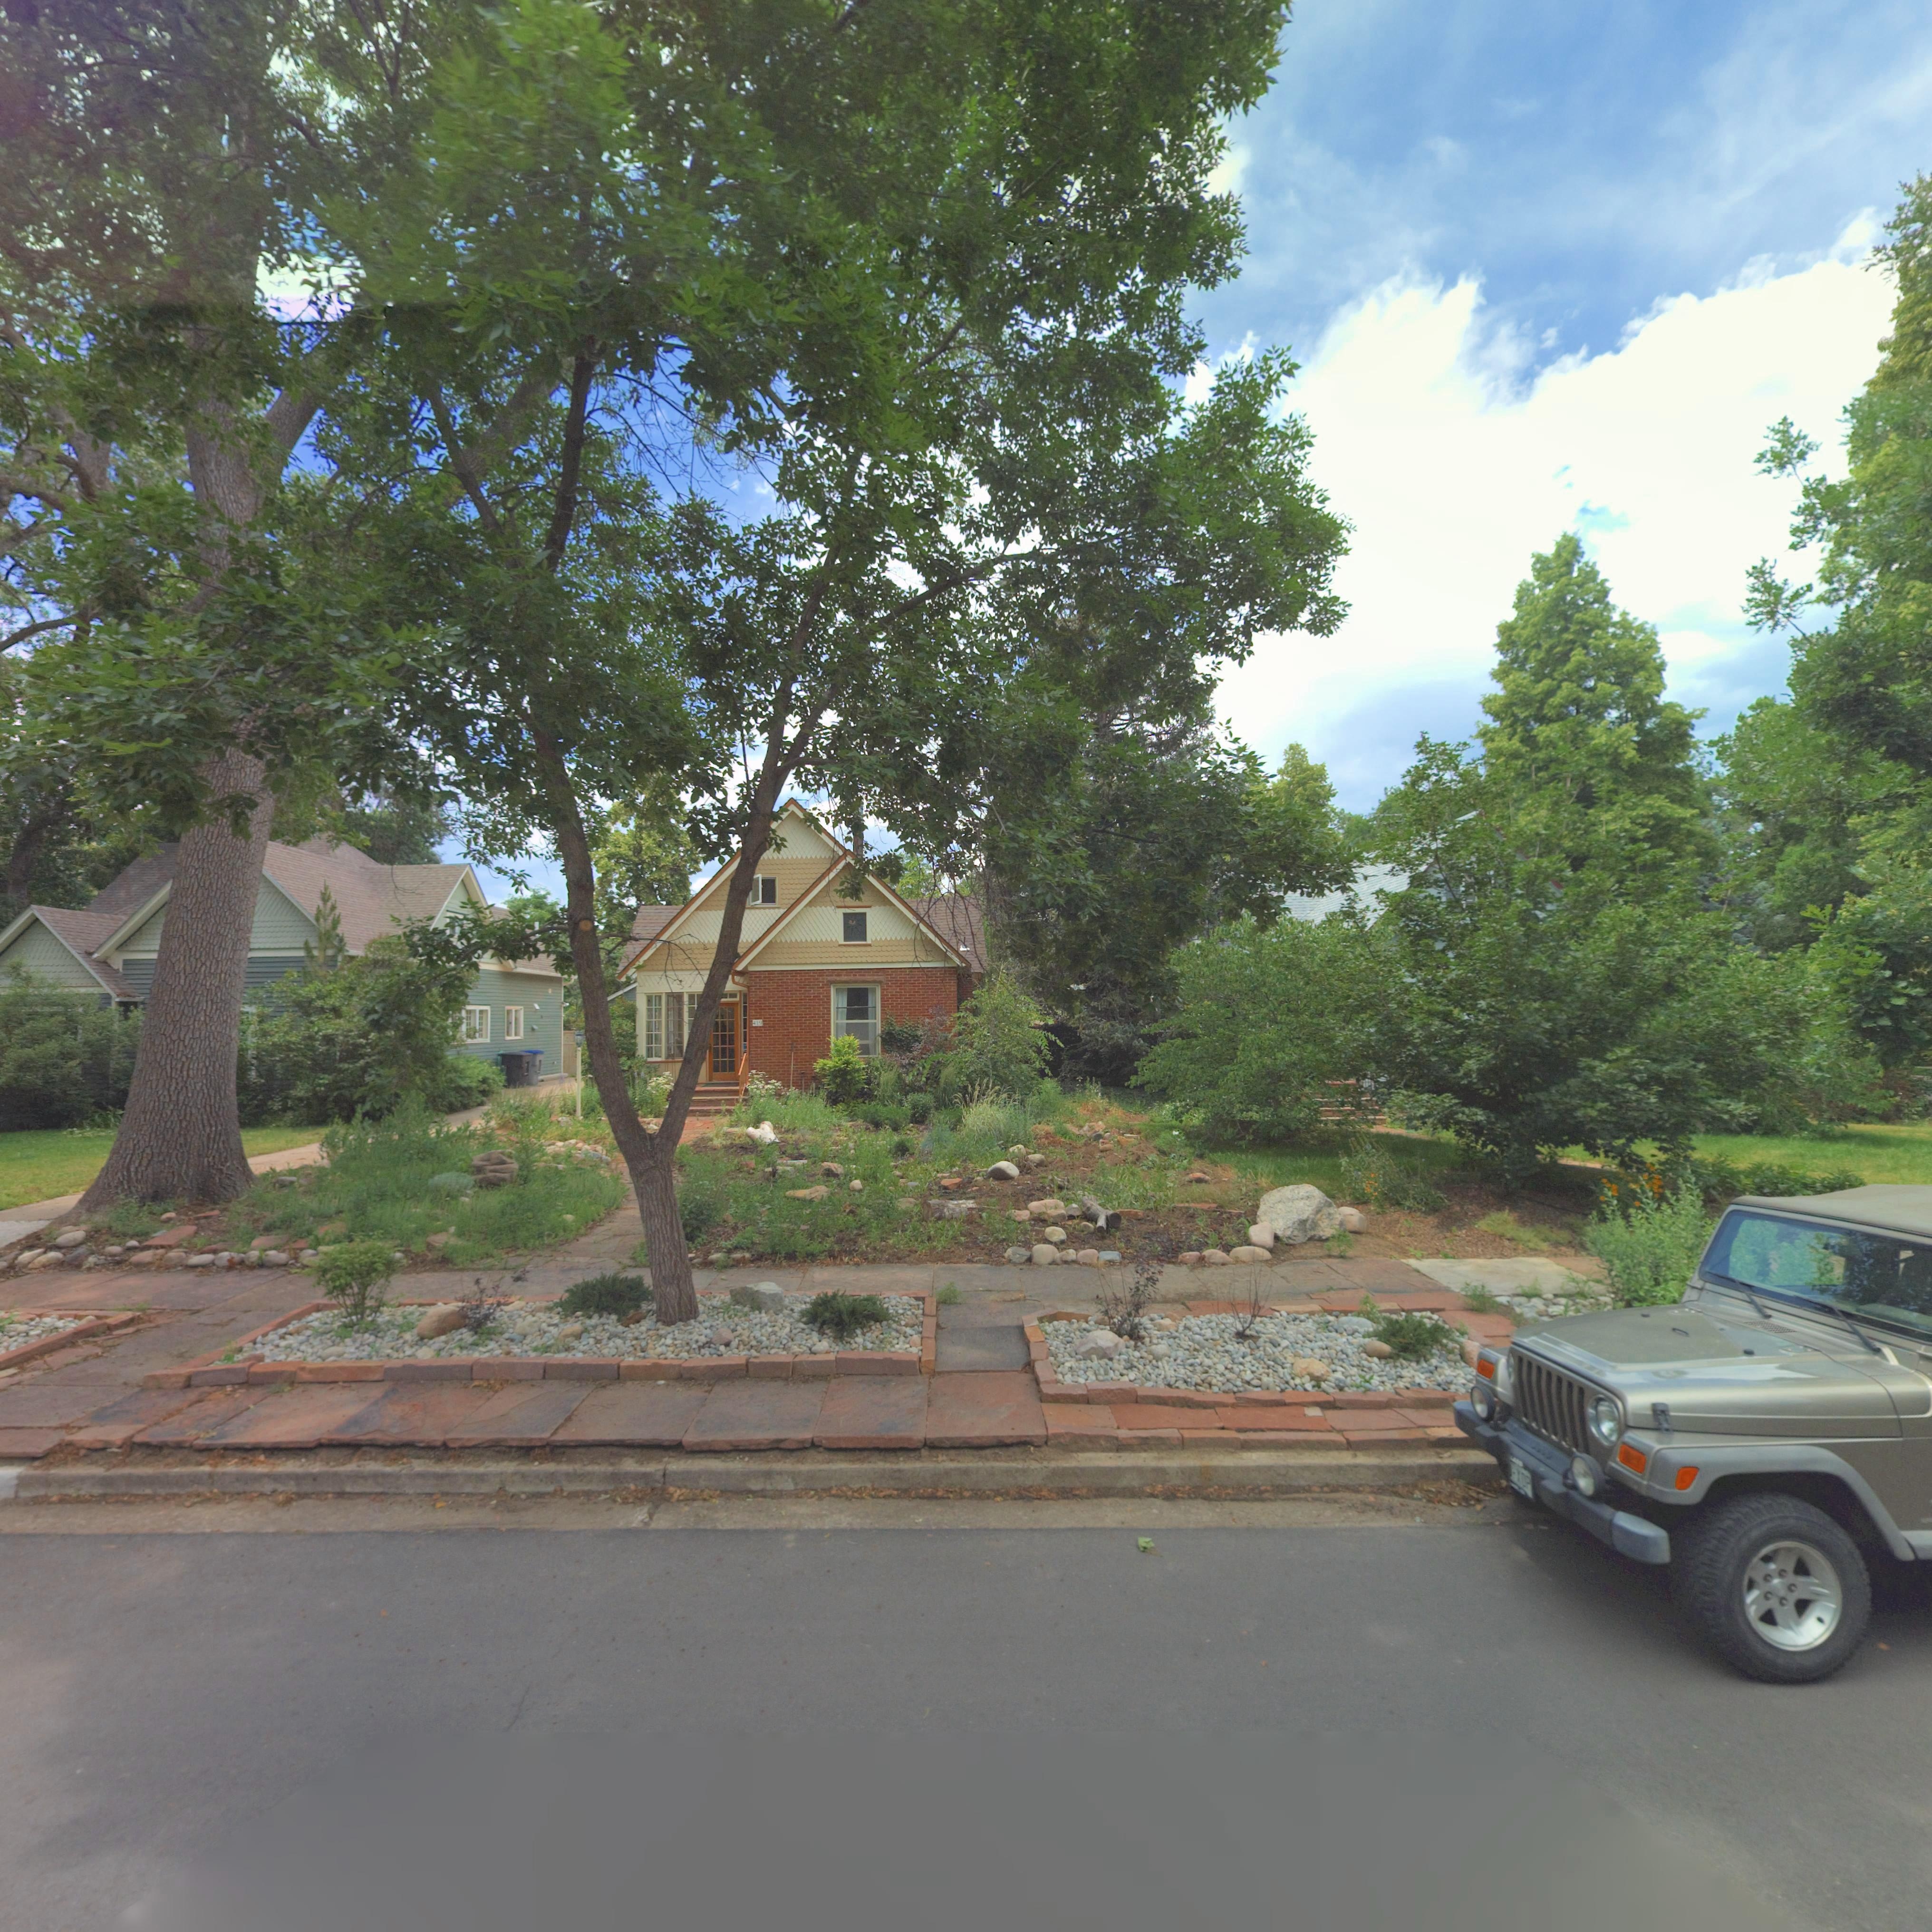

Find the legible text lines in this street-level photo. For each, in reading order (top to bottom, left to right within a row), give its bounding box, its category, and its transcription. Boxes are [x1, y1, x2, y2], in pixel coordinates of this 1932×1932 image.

[752, 1020, 762, 1025] StreetNumber: 419